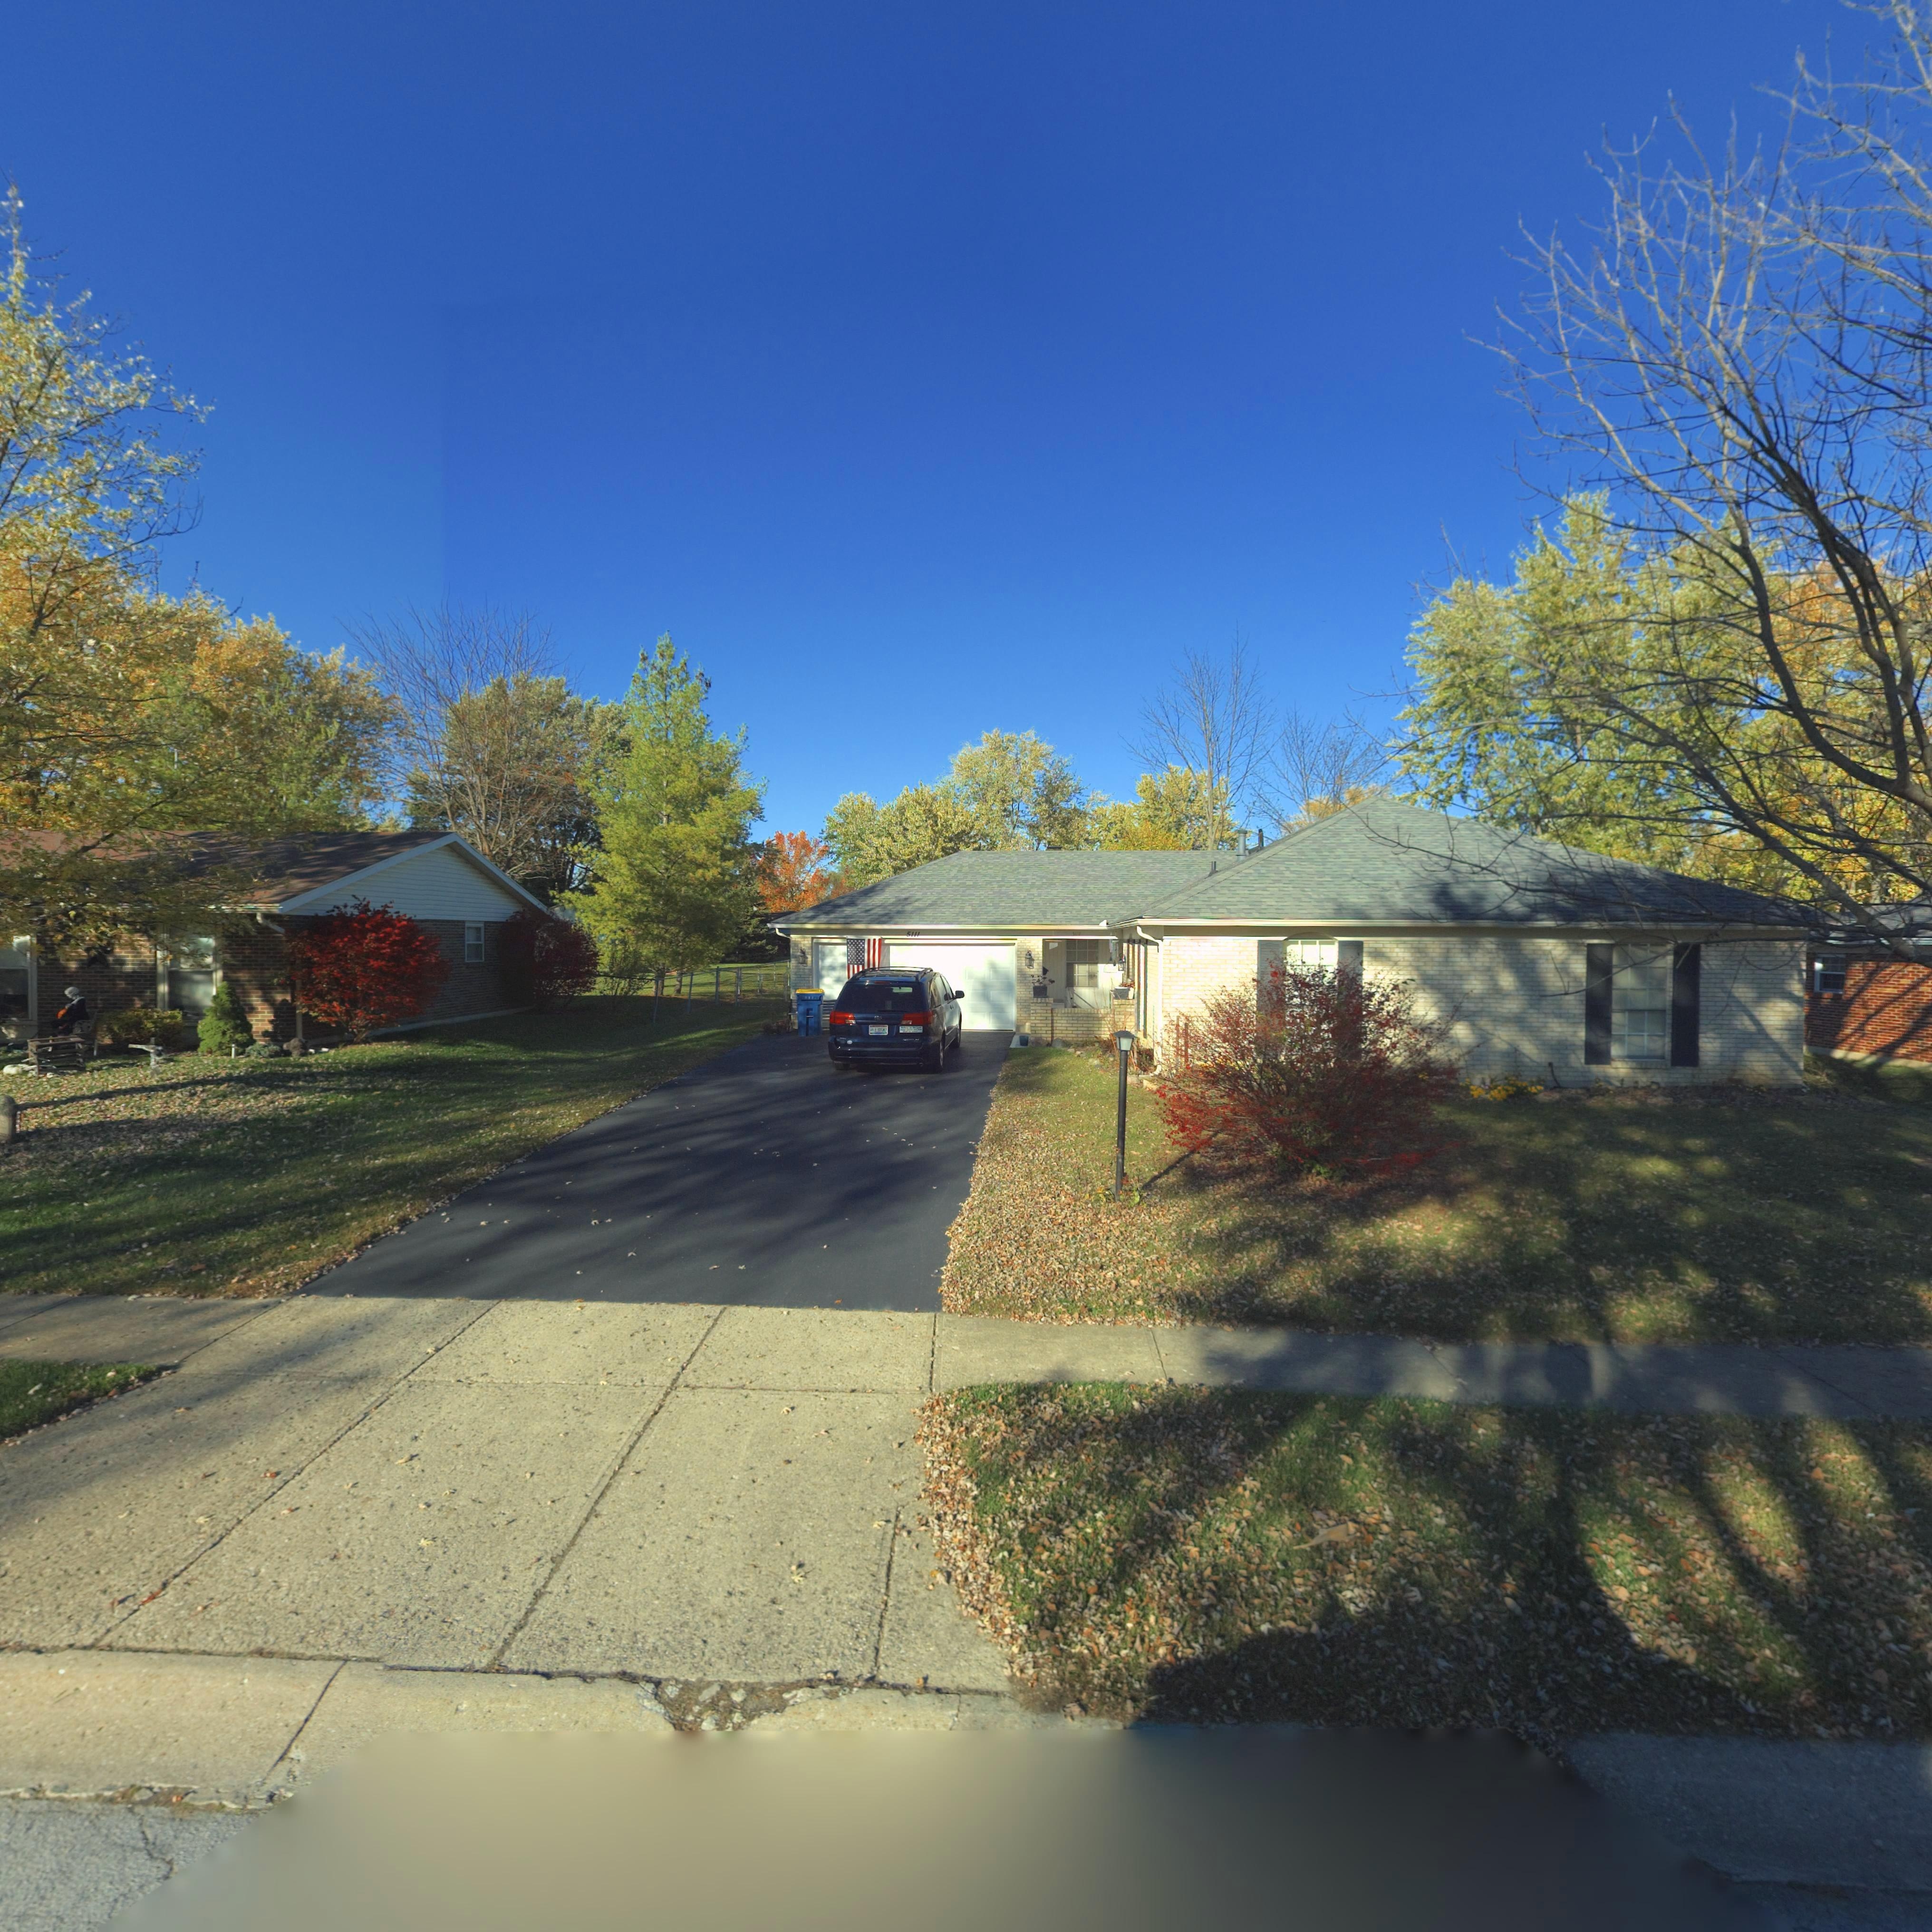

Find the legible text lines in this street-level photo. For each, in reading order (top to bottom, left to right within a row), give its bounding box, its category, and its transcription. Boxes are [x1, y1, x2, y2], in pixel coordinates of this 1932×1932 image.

[906, 931, 920, 937] StreetNumber: 5111